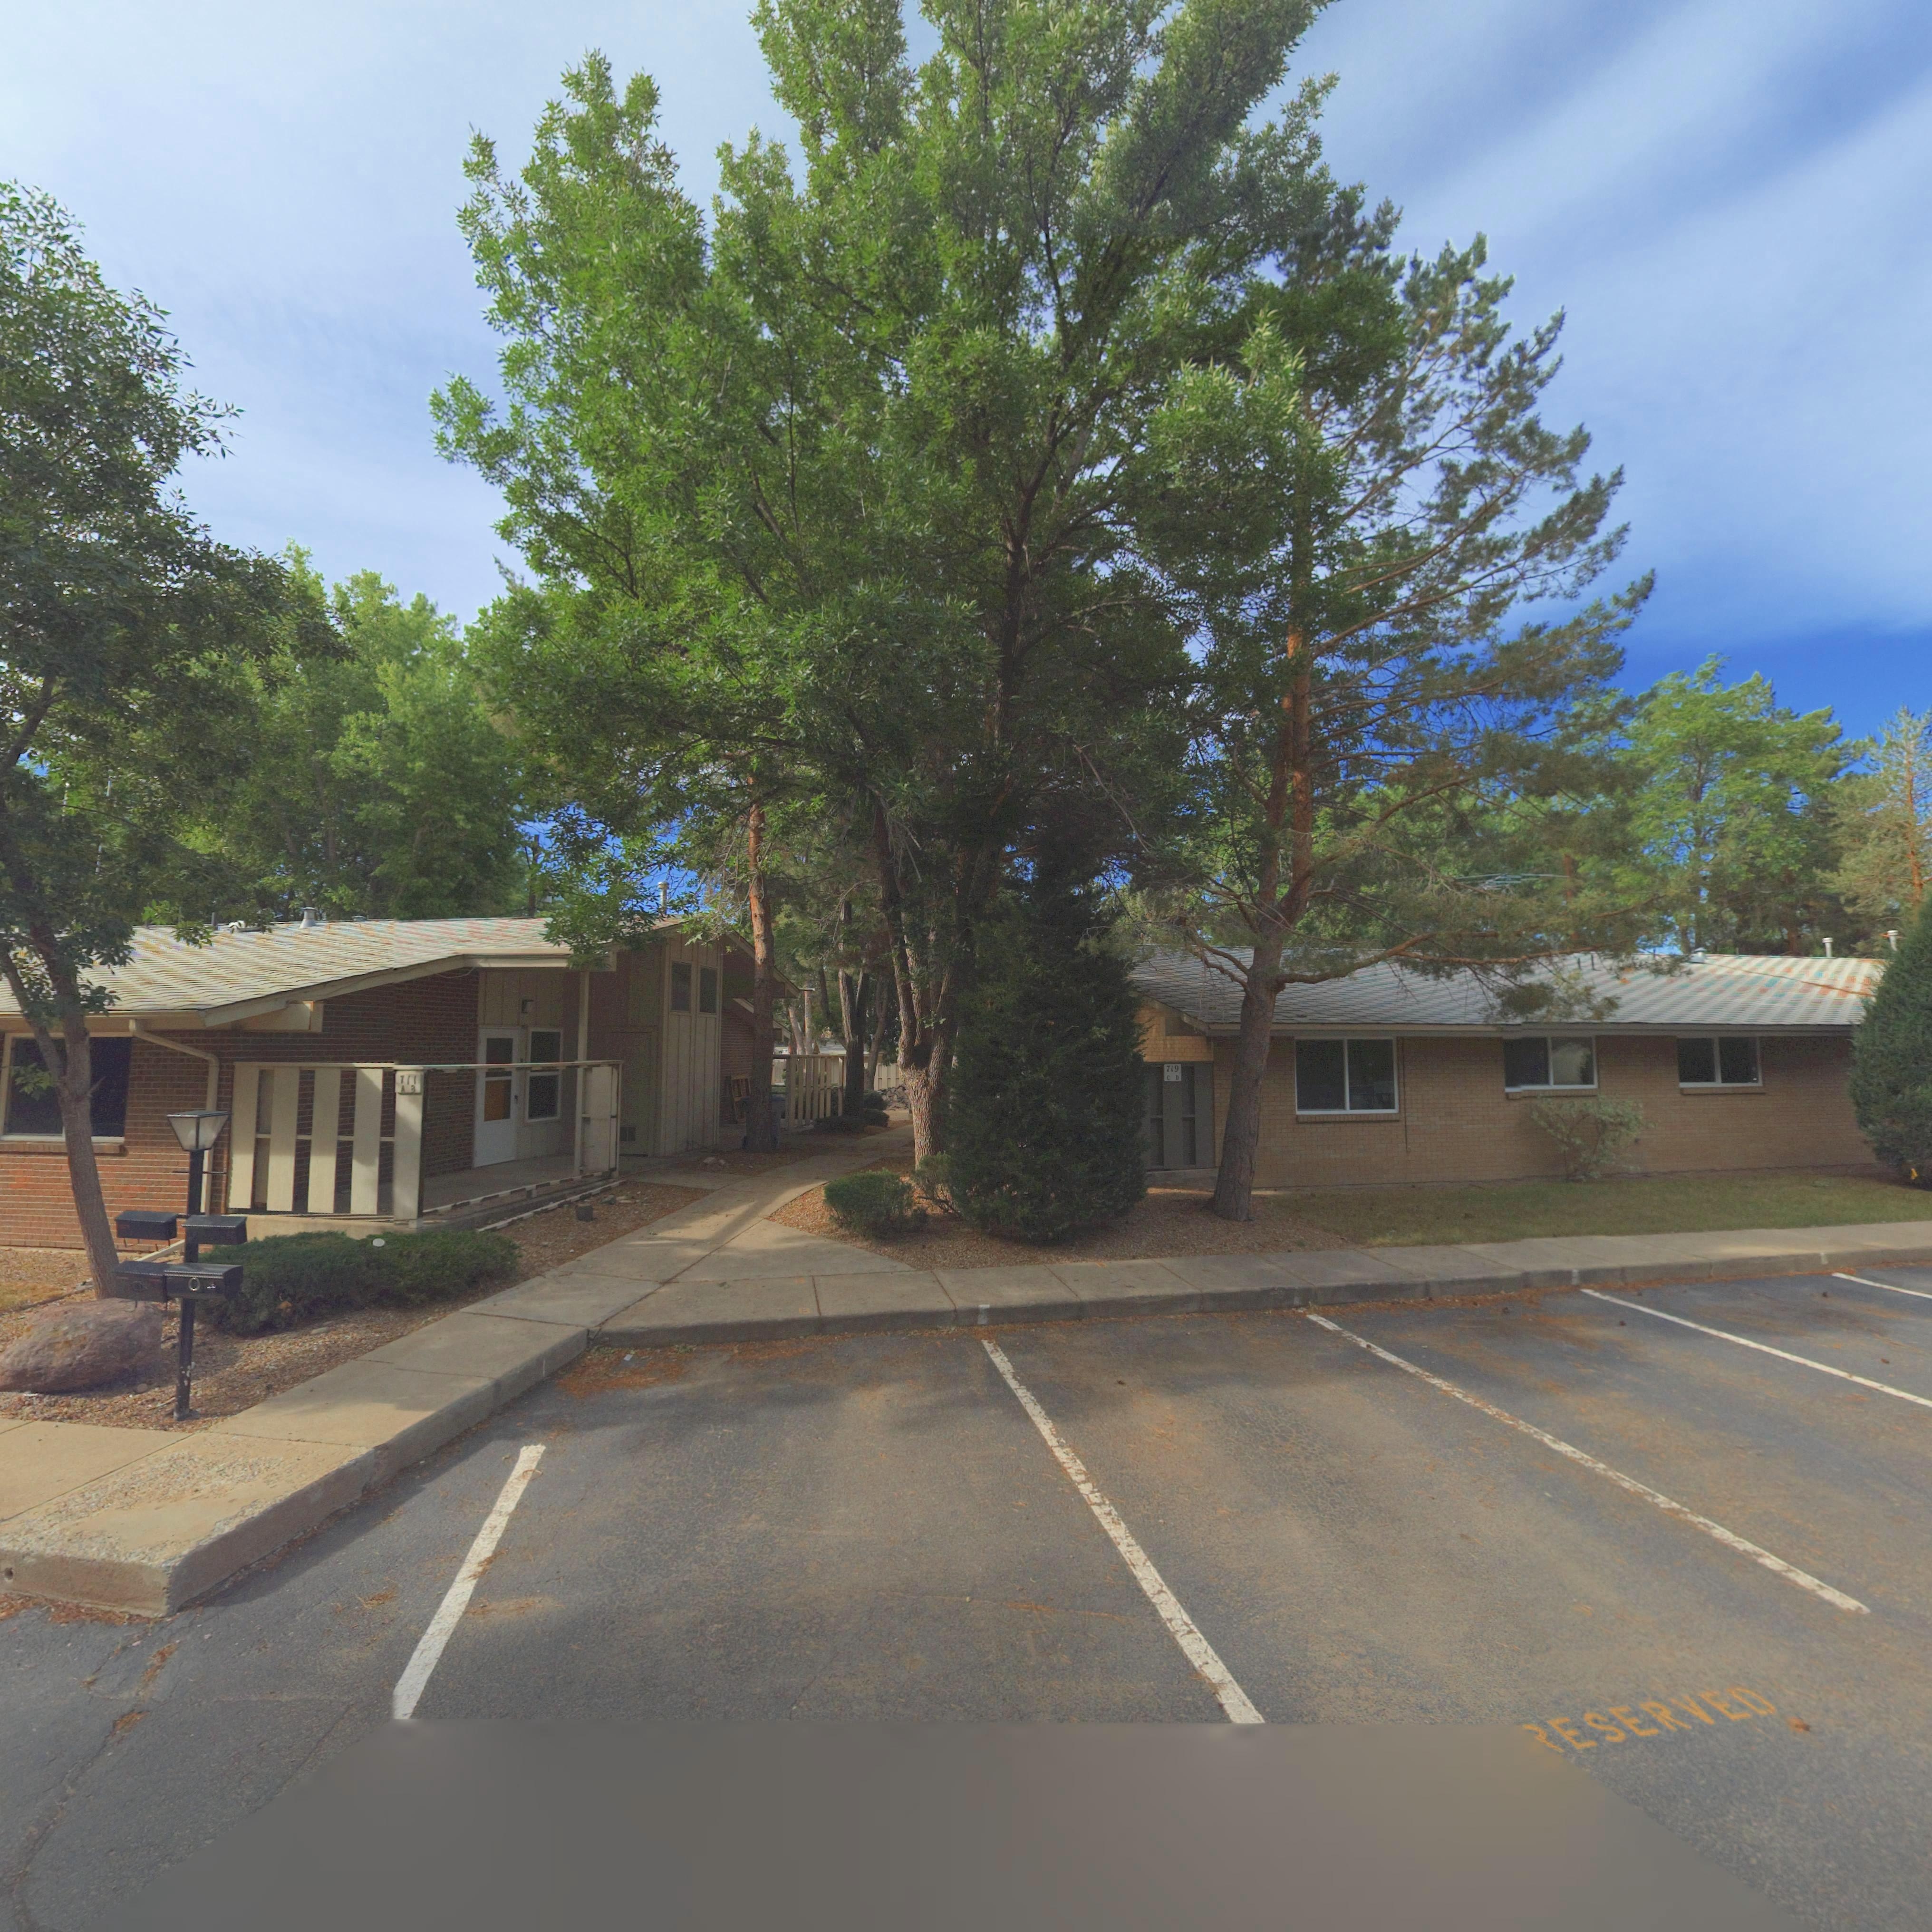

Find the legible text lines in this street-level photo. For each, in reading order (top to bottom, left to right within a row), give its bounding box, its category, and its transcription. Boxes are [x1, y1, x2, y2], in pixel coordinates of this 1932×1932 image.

[1166, 1063, 1179, 1073] StreetNumber: 719
[400, 1074, 417, 1085] StreetNumber: 711
[400, 1084, 416, 1093] StreetNumber: A B